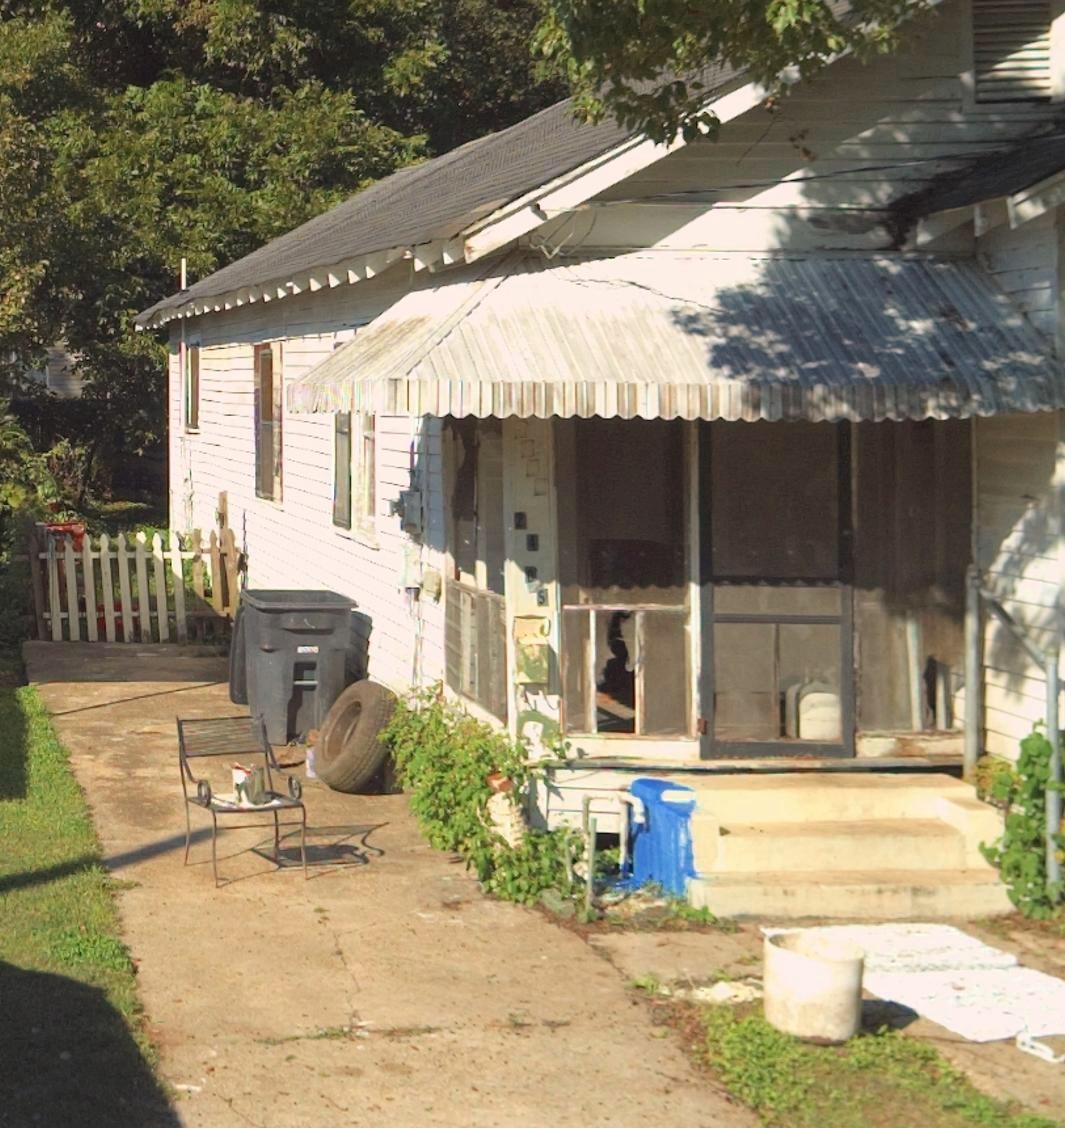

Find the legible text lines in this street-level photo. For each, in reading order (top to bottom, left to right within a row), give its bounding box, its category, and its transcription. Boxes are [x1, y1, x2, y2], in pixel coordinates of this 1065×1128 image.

[514, 511, 547, 606] StreetNumber: 2405